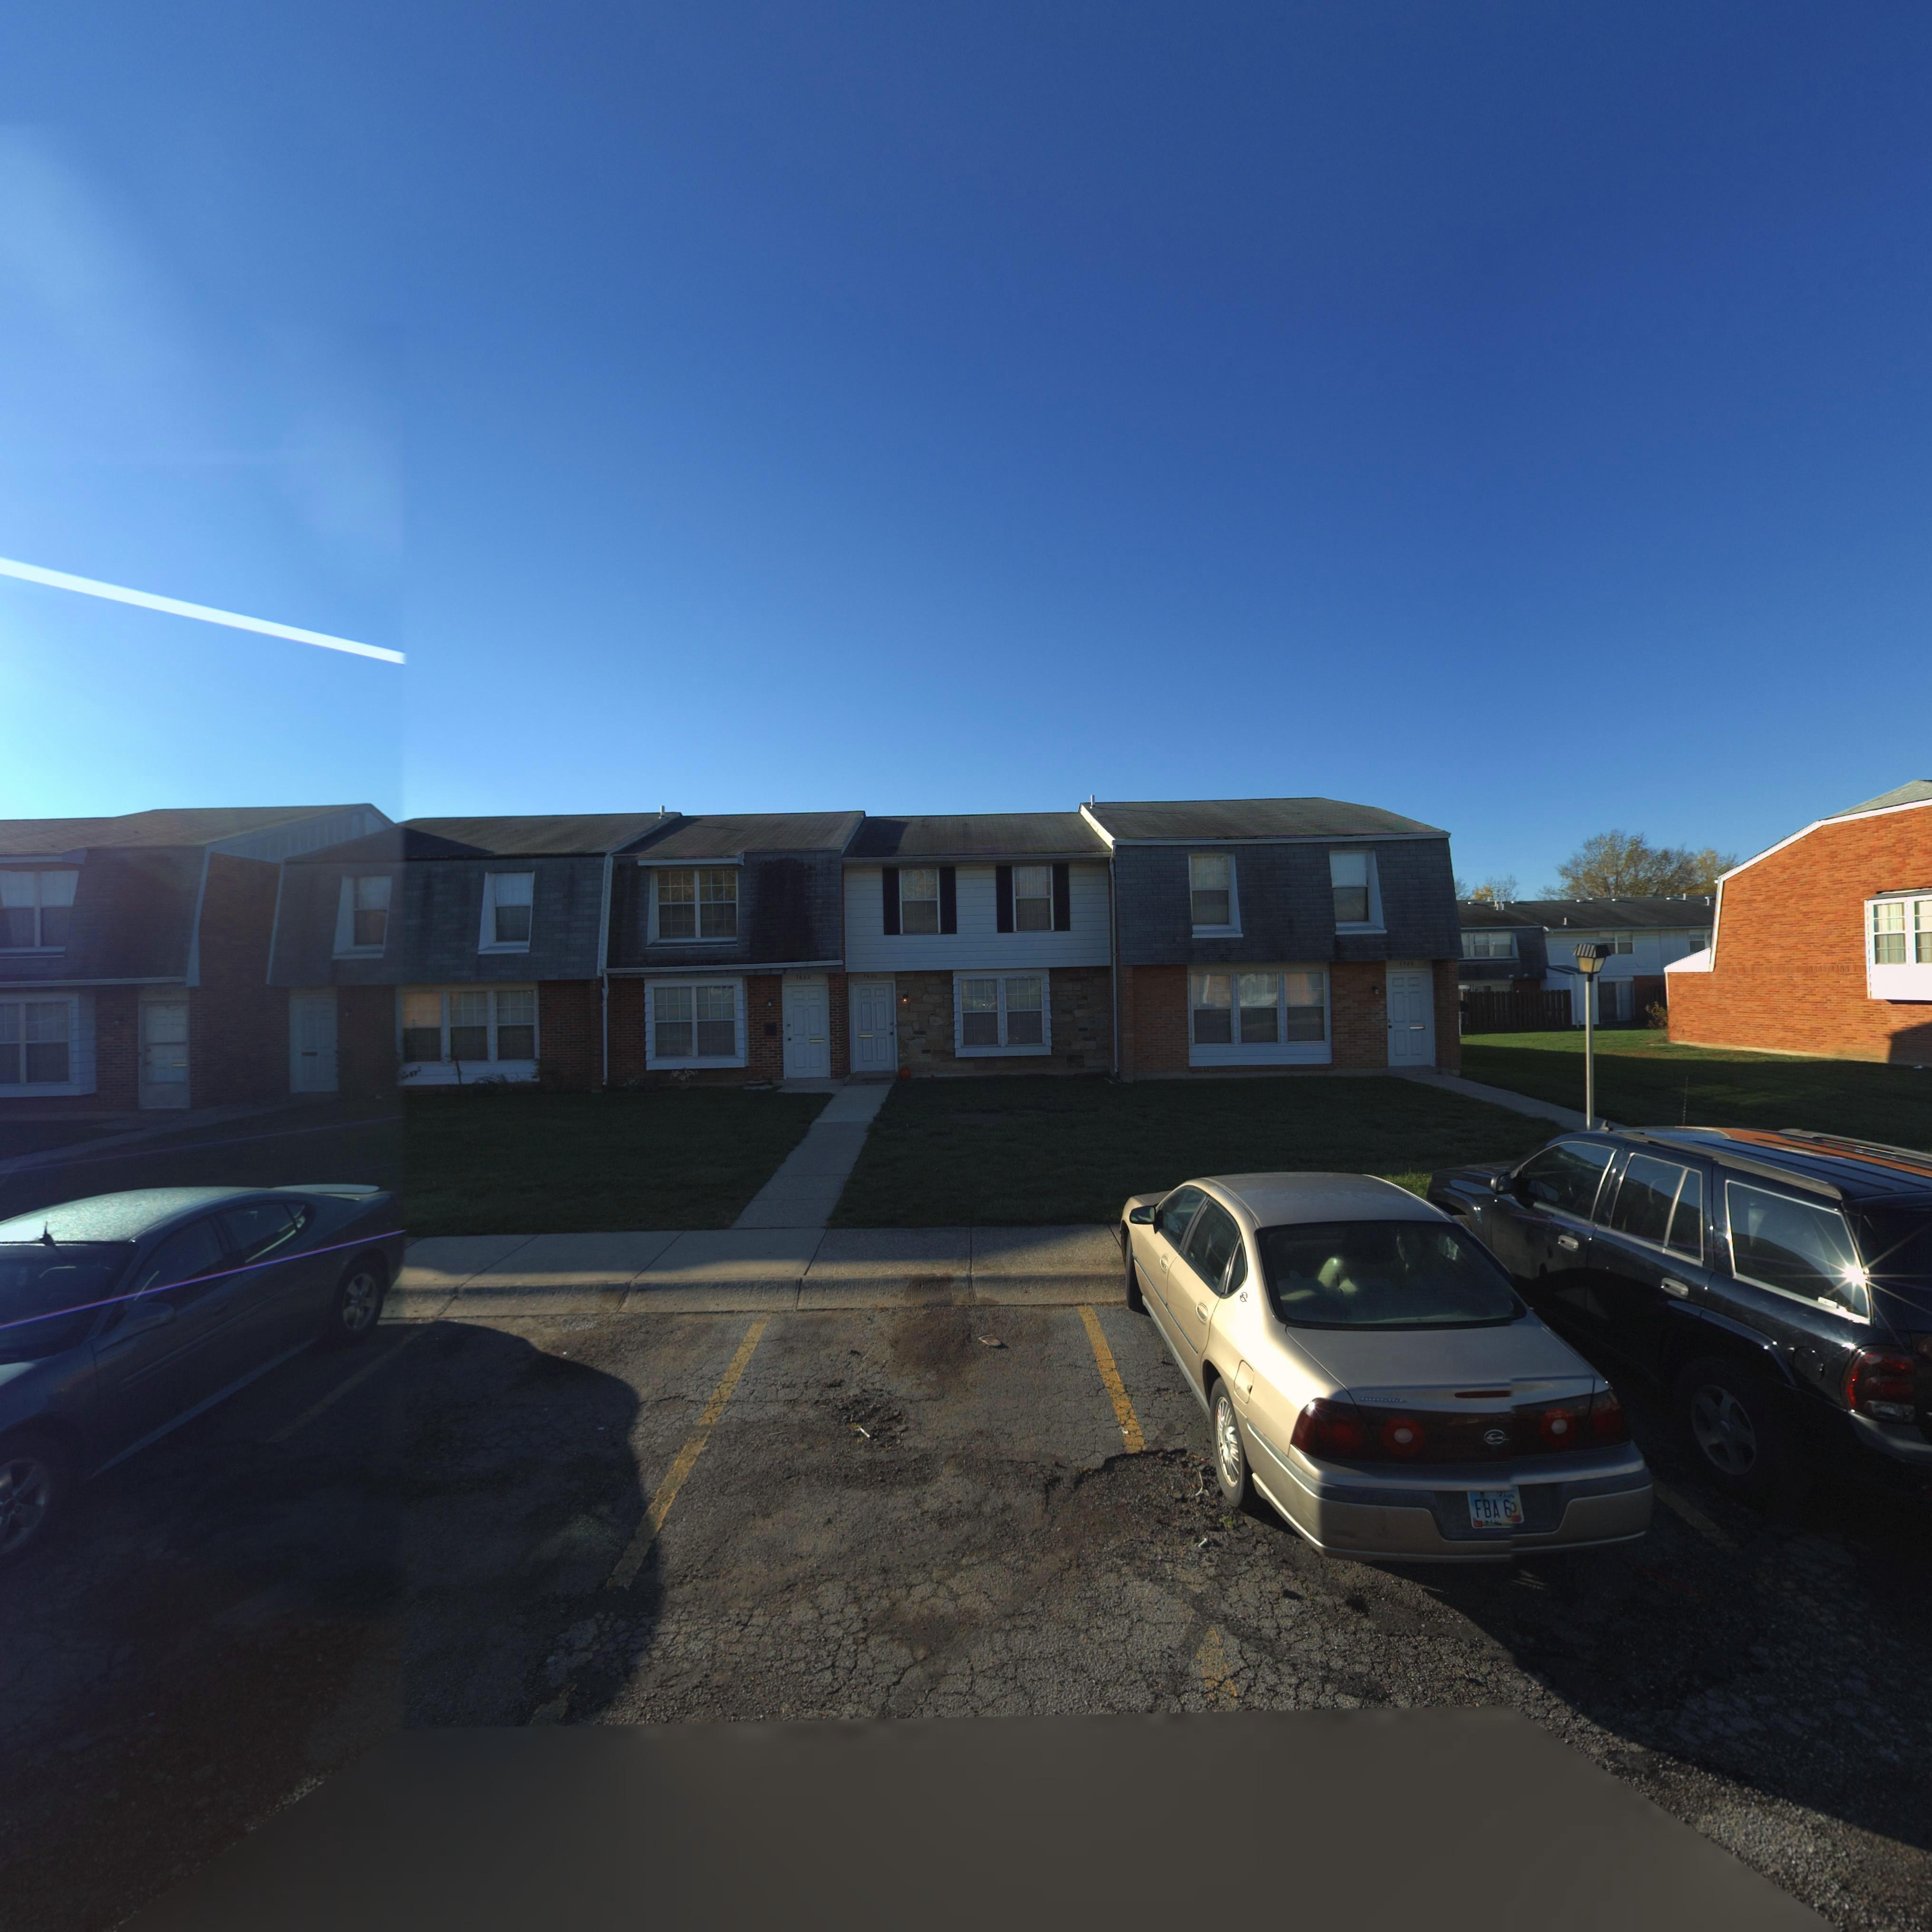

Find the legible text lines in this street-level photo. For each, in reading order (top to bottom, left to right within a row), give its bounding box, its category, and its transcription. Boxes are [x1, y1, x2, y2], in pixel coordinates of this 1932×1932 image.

[1398, 960, 1415, 966] StreetNumber: 7598
[795, 975, 811, 980] StreetNumber: 7602
[863, 973, 878, 978] StreetNumber: 7600
[162, 988, 173, 995] StreetNumber: 0*